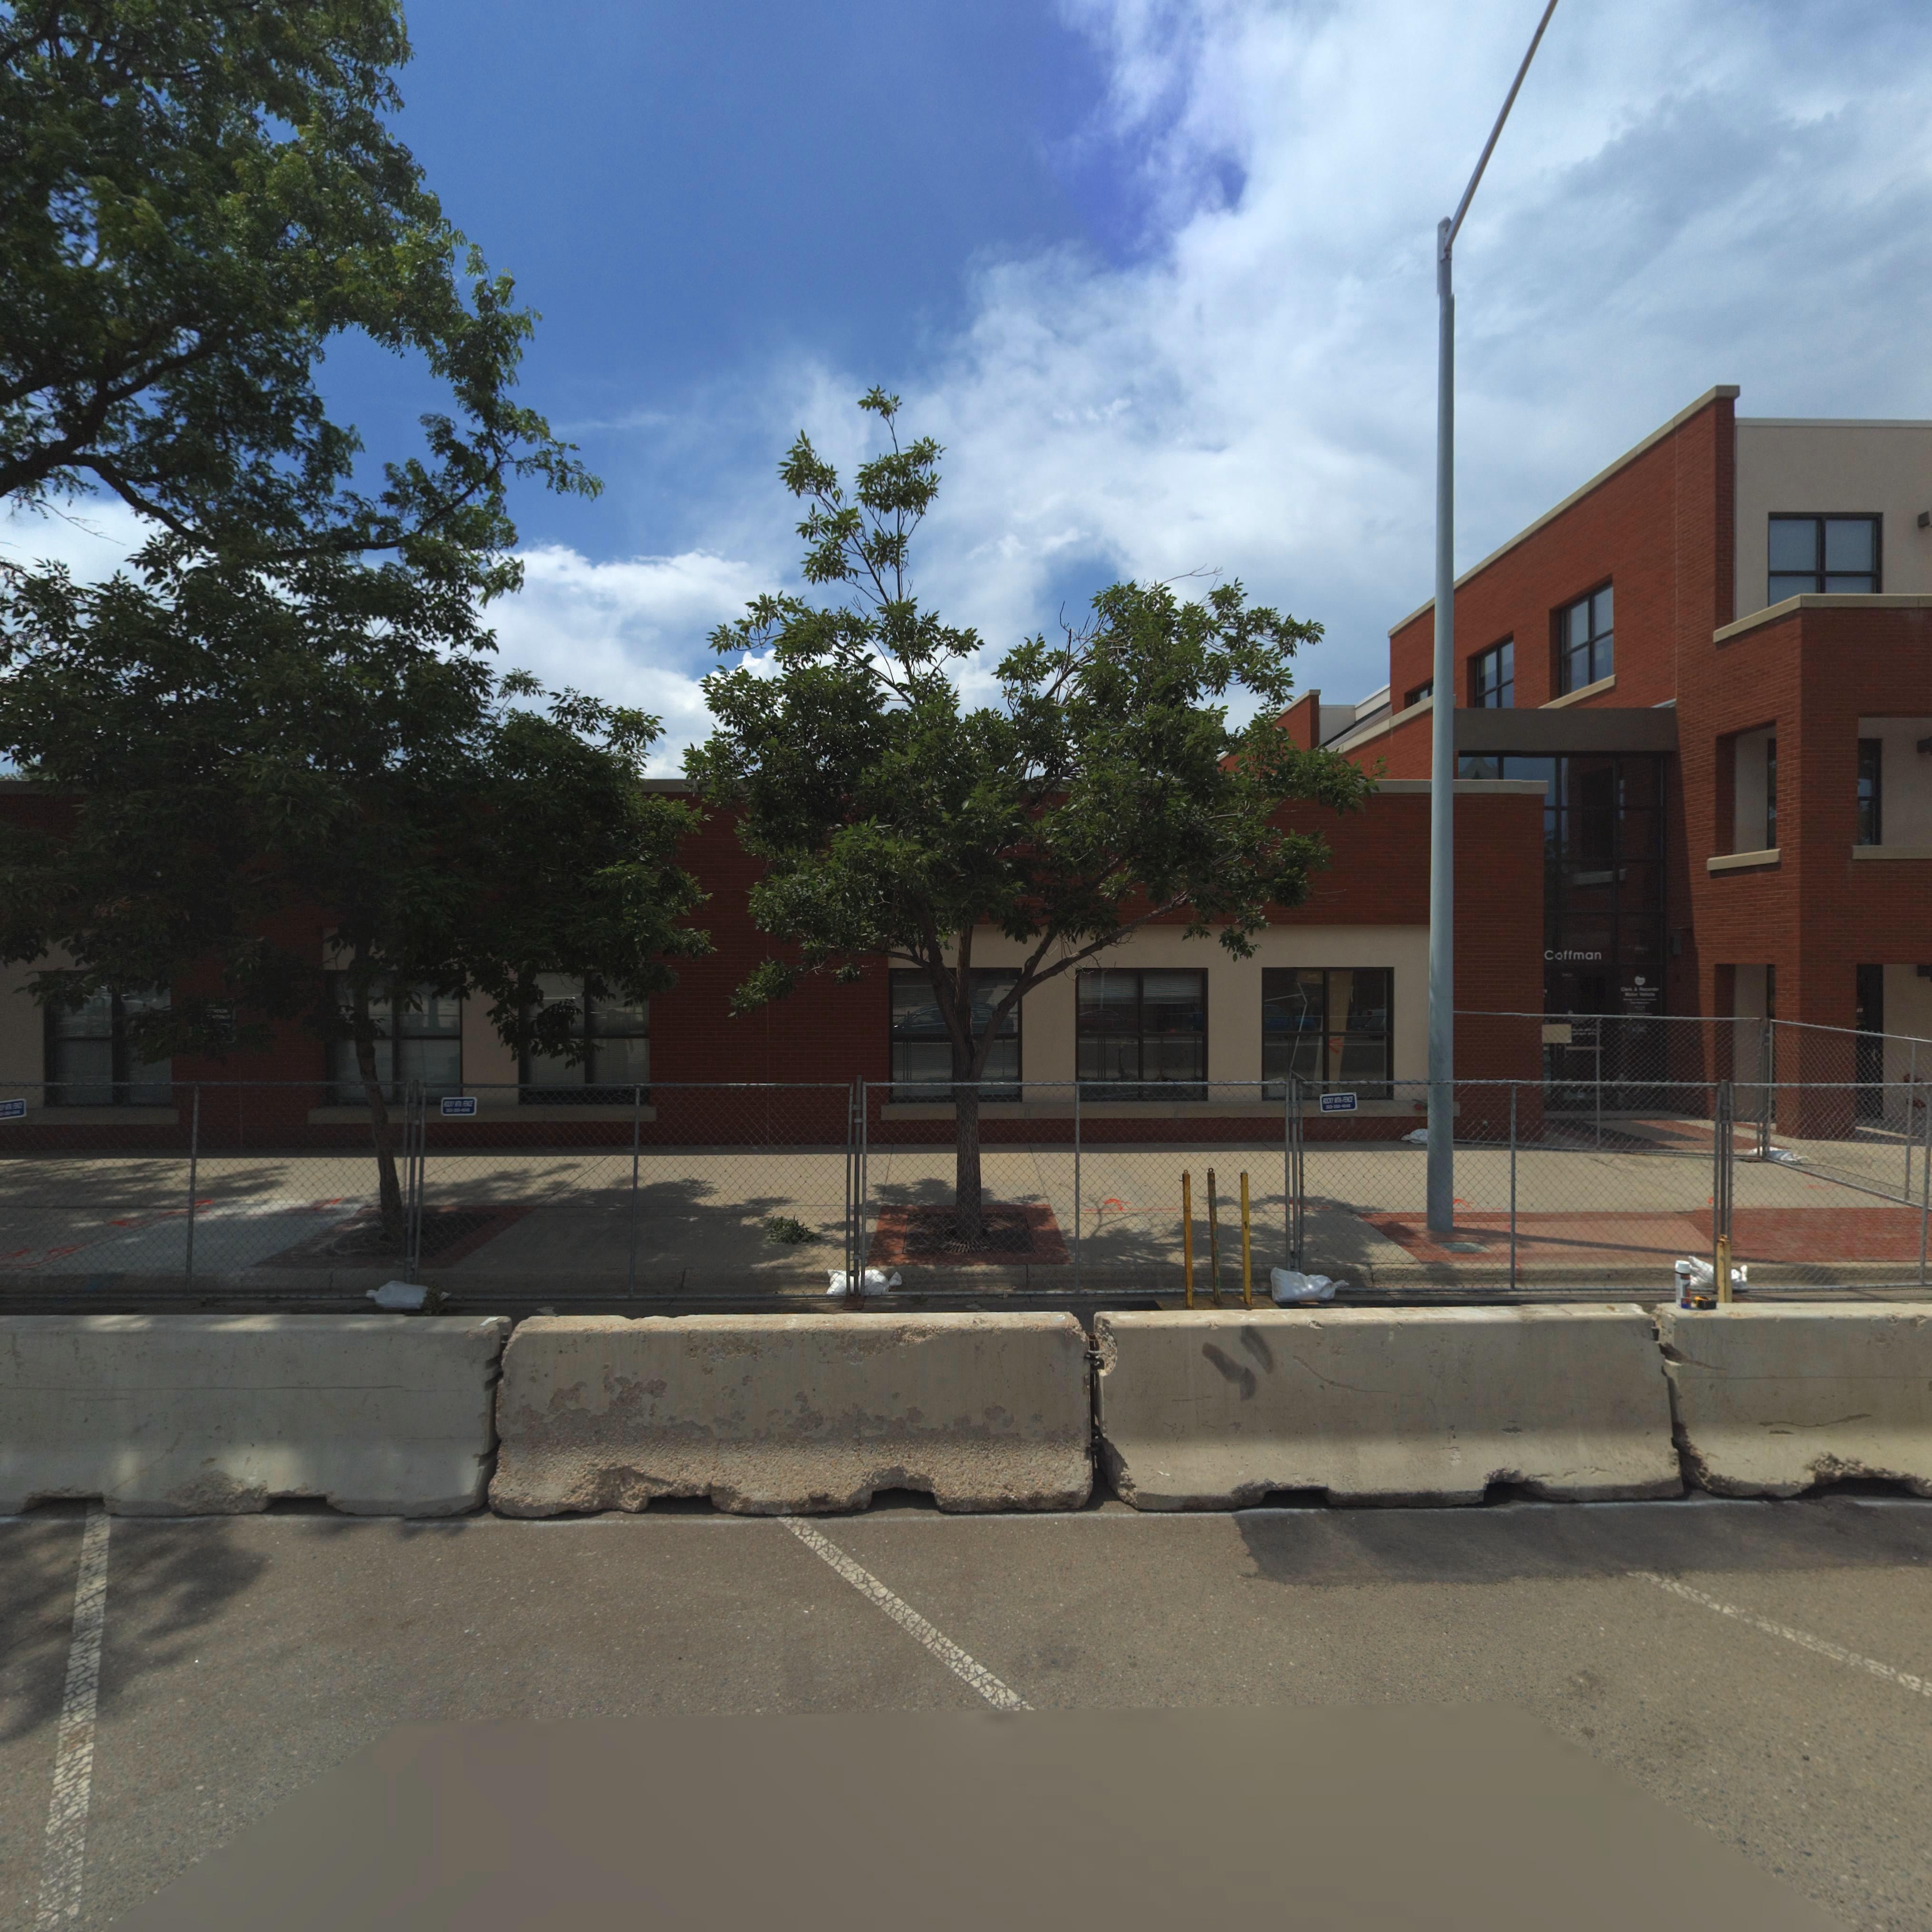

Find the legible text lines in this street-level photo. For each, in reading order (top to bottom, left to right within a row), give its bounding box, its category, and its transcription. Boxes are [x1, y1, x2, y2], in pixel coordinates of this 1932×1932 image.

[1544, 950, 1602, 960] StreetName: Coffman